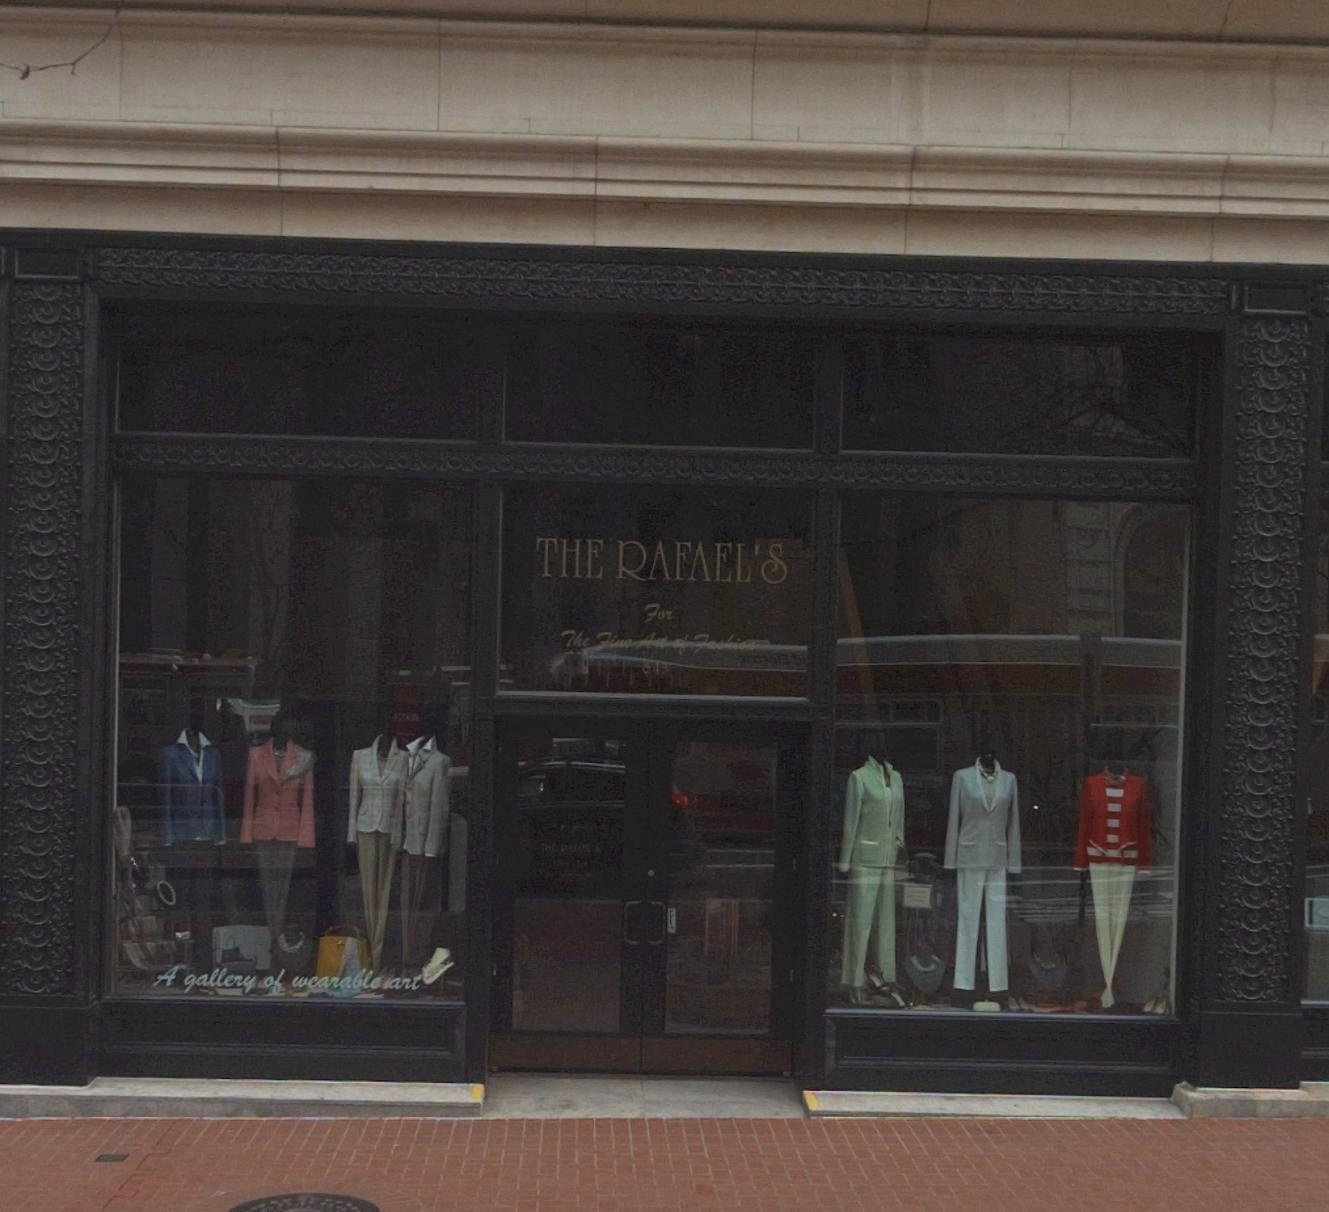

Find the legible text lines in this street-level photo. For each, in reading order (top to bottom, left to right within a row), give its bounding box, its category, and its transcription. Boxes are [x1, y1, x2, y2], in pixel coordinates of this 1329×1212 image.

[530, 533, 791, 588] BusinessName: THE RAFAEL'S
[638, 597, 679, 627] None: For
[556, 624, 763, 659] None: The Fine Art of Fashion
[638, 658, 674, 677] StreetNumber: 64*
[144, 961, 431, 998] None: A gallery of wearable art